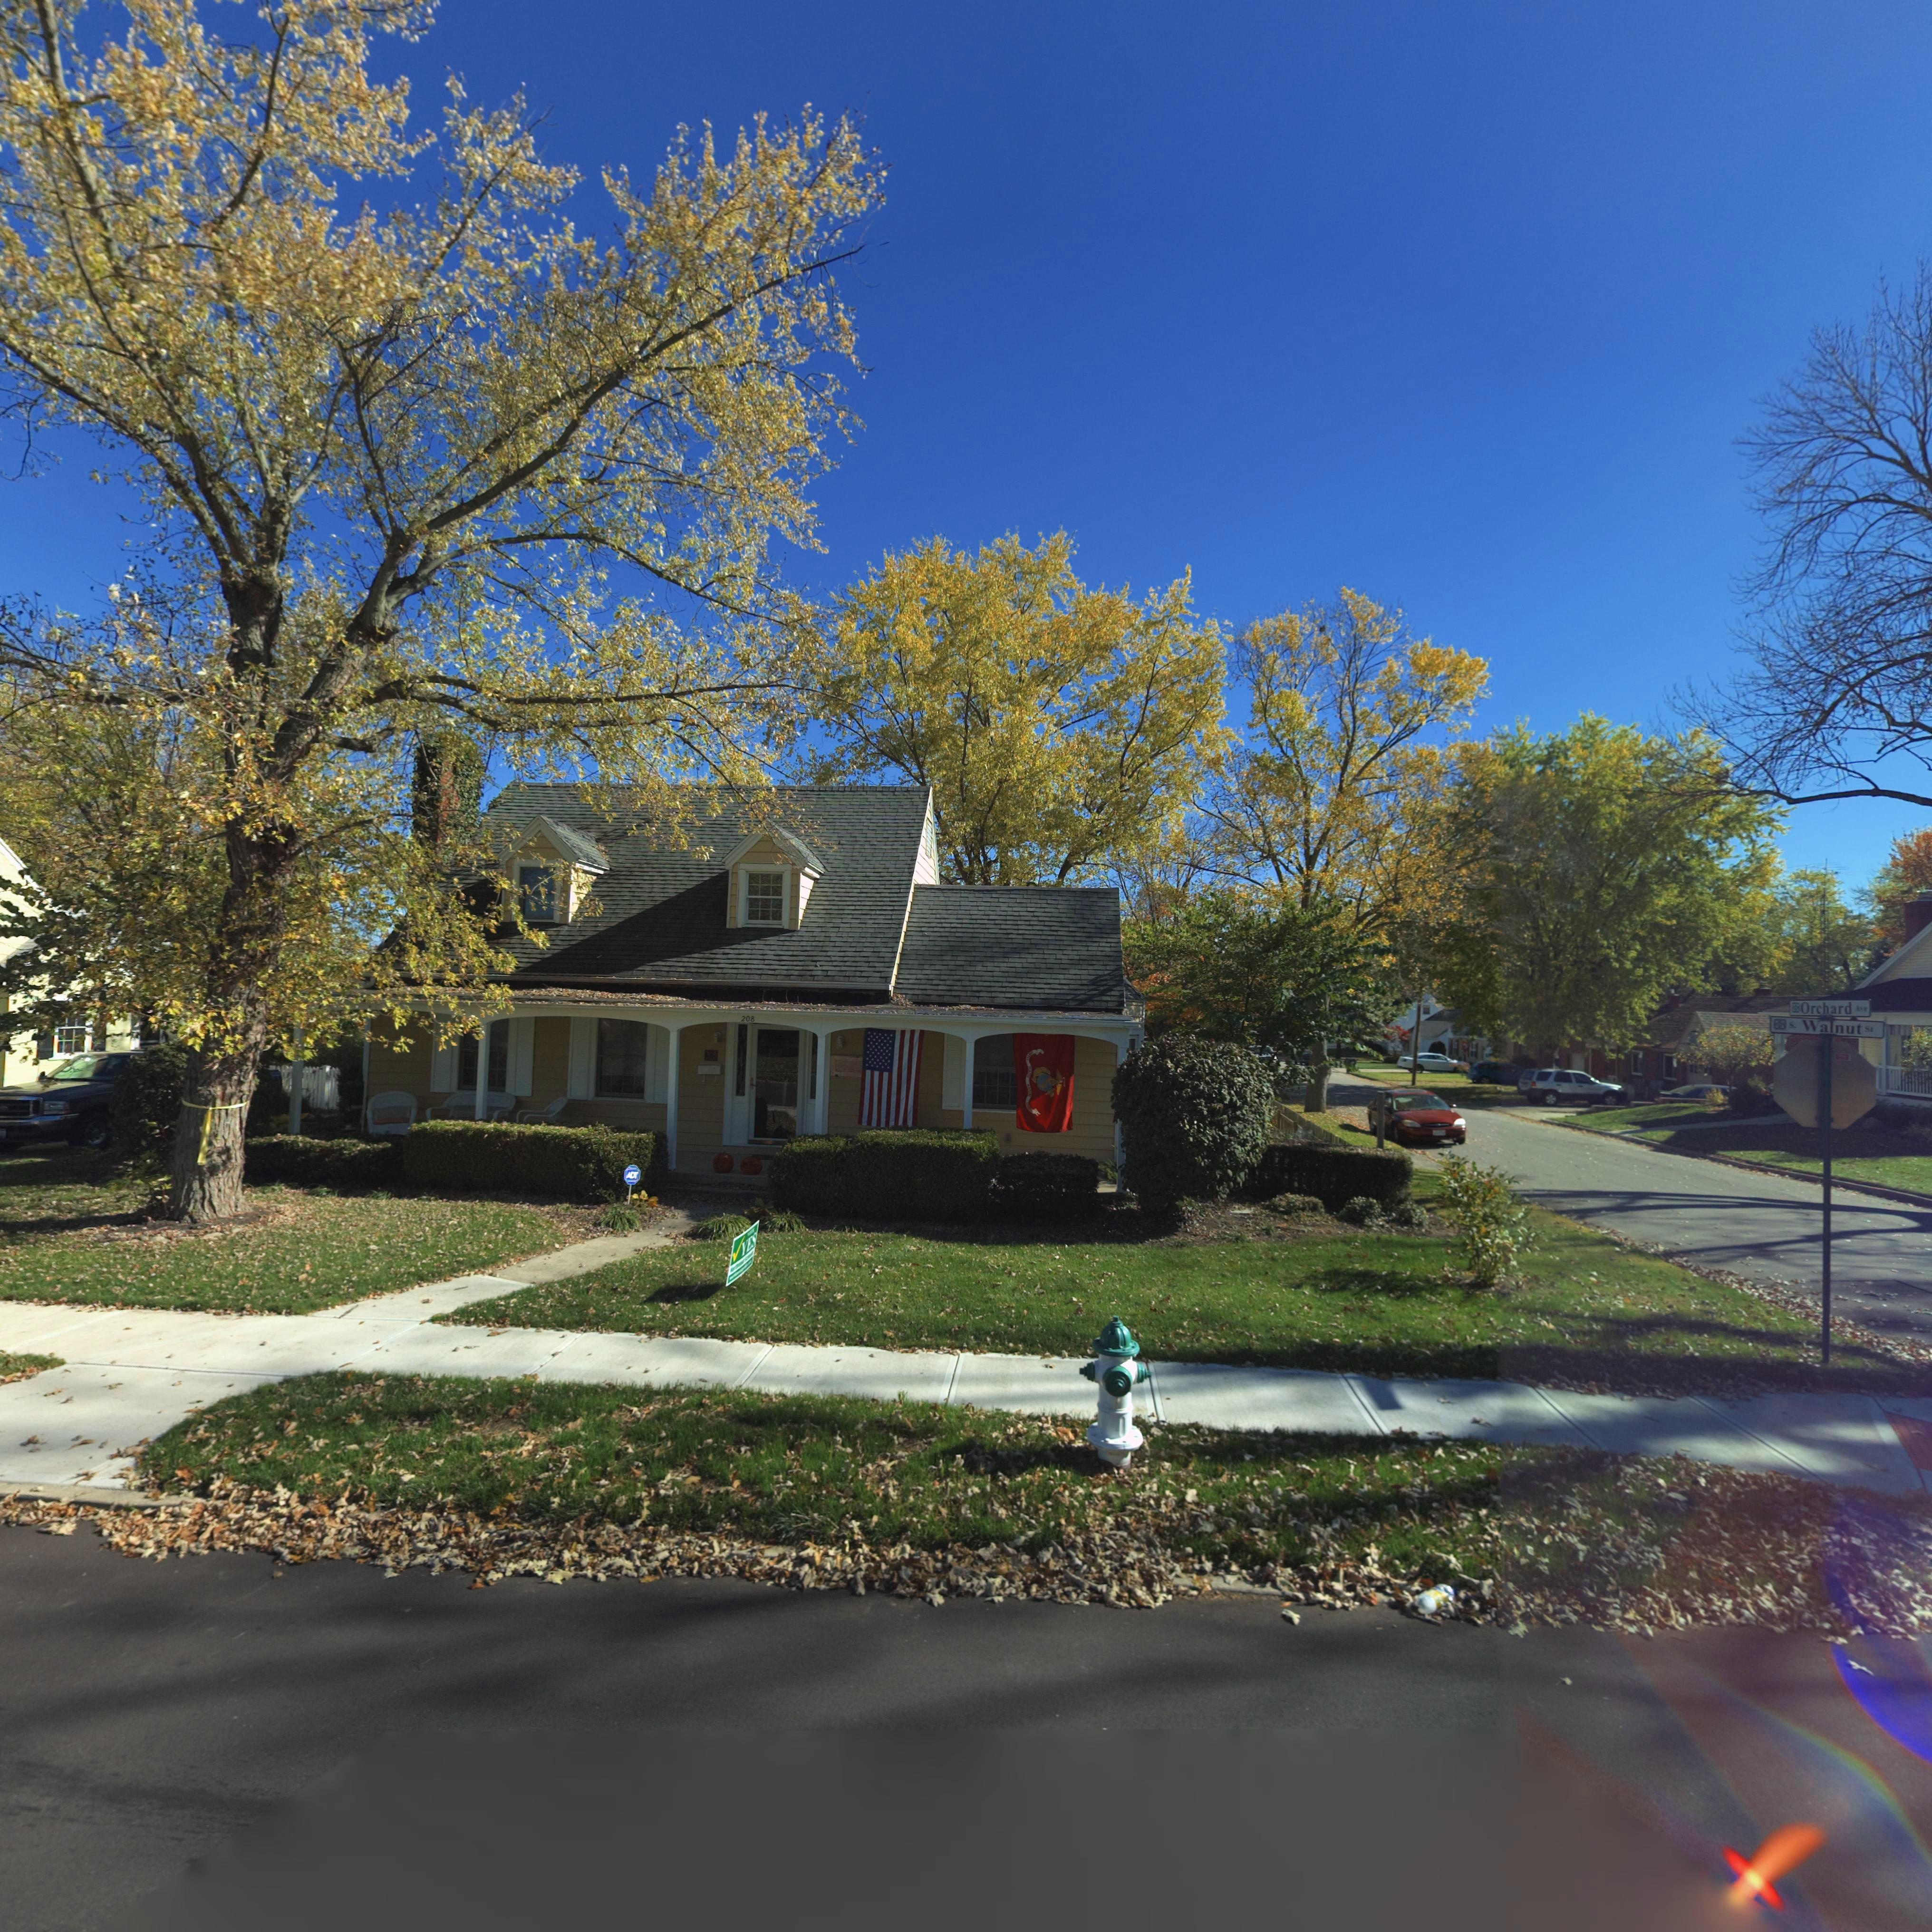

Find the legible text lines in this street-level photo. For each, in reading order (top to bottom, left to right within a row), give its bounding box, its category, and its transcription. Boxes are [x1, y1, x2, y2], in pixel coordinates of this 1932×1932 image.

[1800, 1001, 1869, 1015] StreetName: Orchard Ave
[741, 1015, 755, 1022] StreetNumber: 208
[1787, 1019, 1874, 1035] StreetName: S. Walnut St
[625, 1170, 640, 1179] None: ADT
[741, 1230, 757, 1258] None: YES